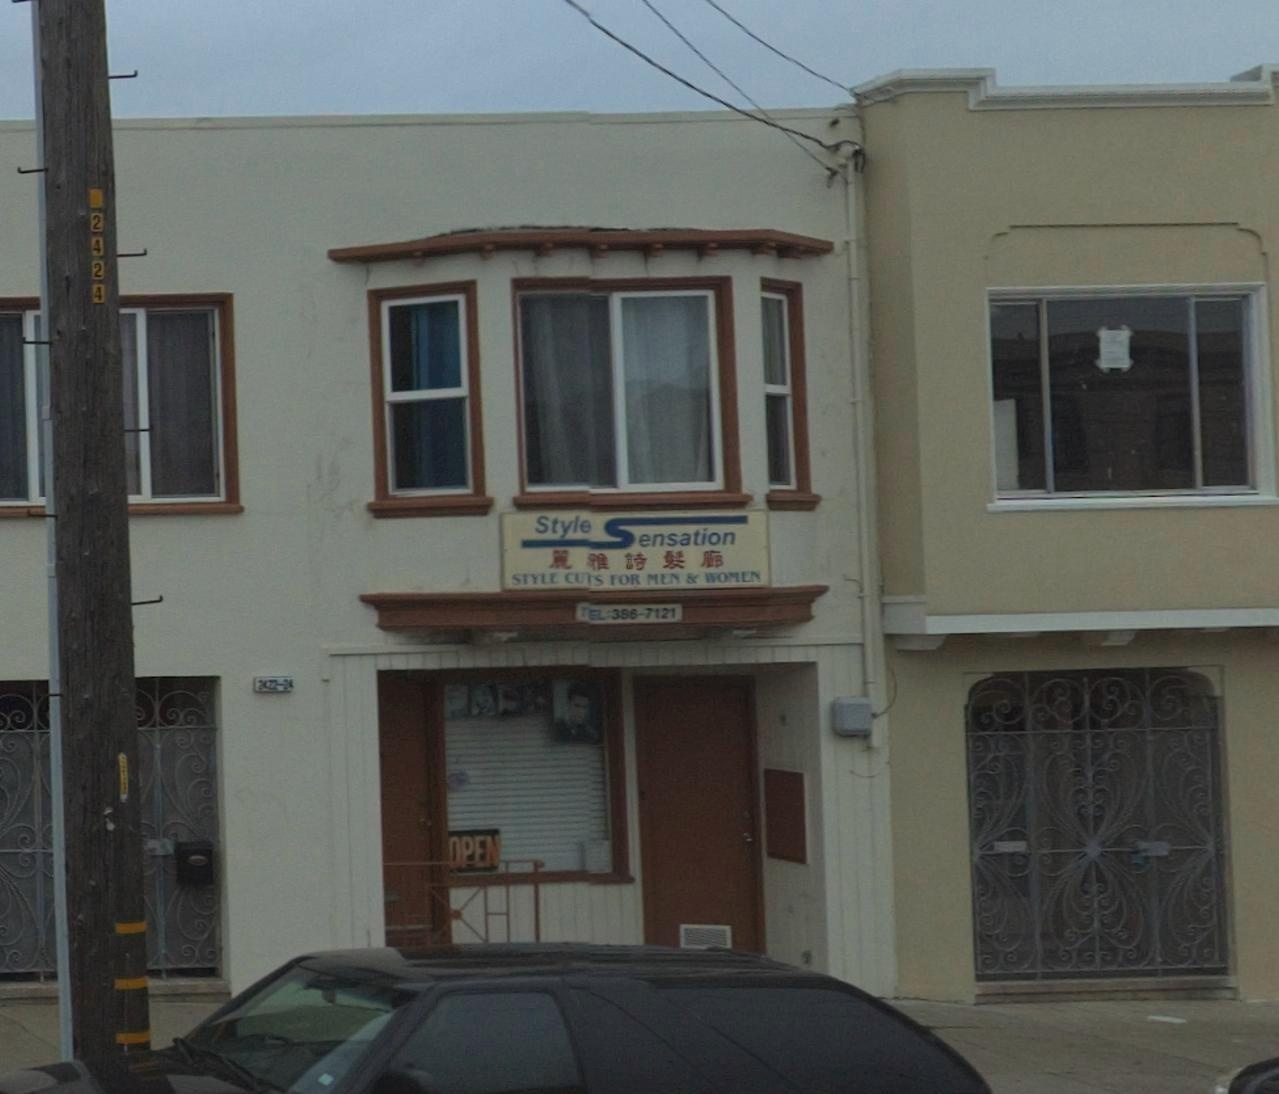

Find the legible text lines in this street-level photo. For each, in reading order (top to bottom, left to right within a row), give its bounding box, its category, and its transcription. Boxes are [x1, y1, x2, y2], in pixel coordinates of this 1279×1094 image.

[89, 213, 105, 303] None: 2424
[532, 512, 738, 549] BusinessName: Styl* Sensation
[508, 568, 764, 588] None: STYLE CU*S FOR MEN & WOMEN
[579, 604, 677, 623] None: **L:386-7121
[256, 677, 280, 693] StreetNumber: 2*22
[447, 831, 502, 873] None: *PEN